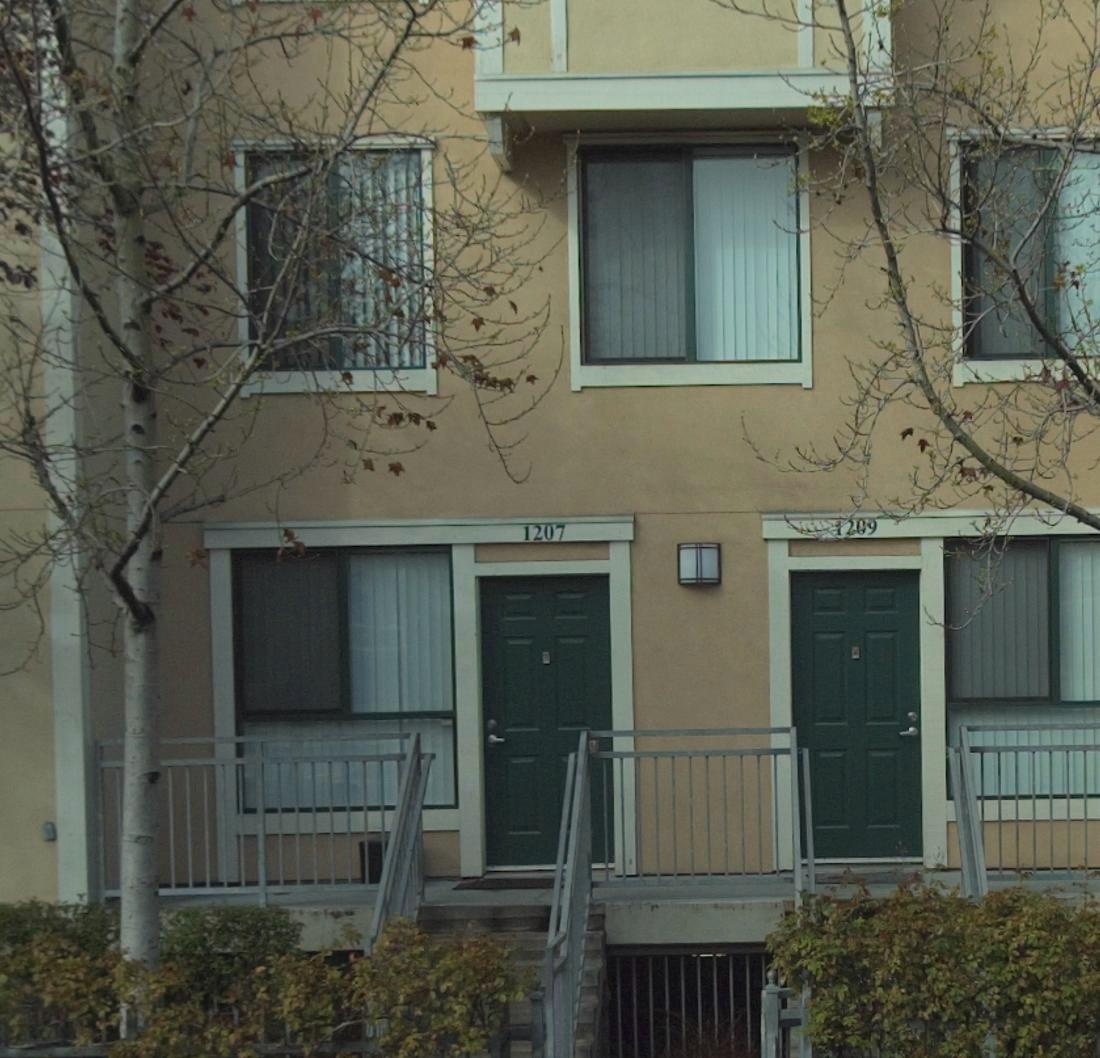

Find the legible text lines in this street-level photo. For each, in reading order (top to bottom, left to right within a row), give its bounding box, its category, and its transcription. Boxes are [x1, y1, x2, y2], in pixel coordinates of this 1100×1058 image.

[521, 522, 568, 543] StreetNumber: 1207